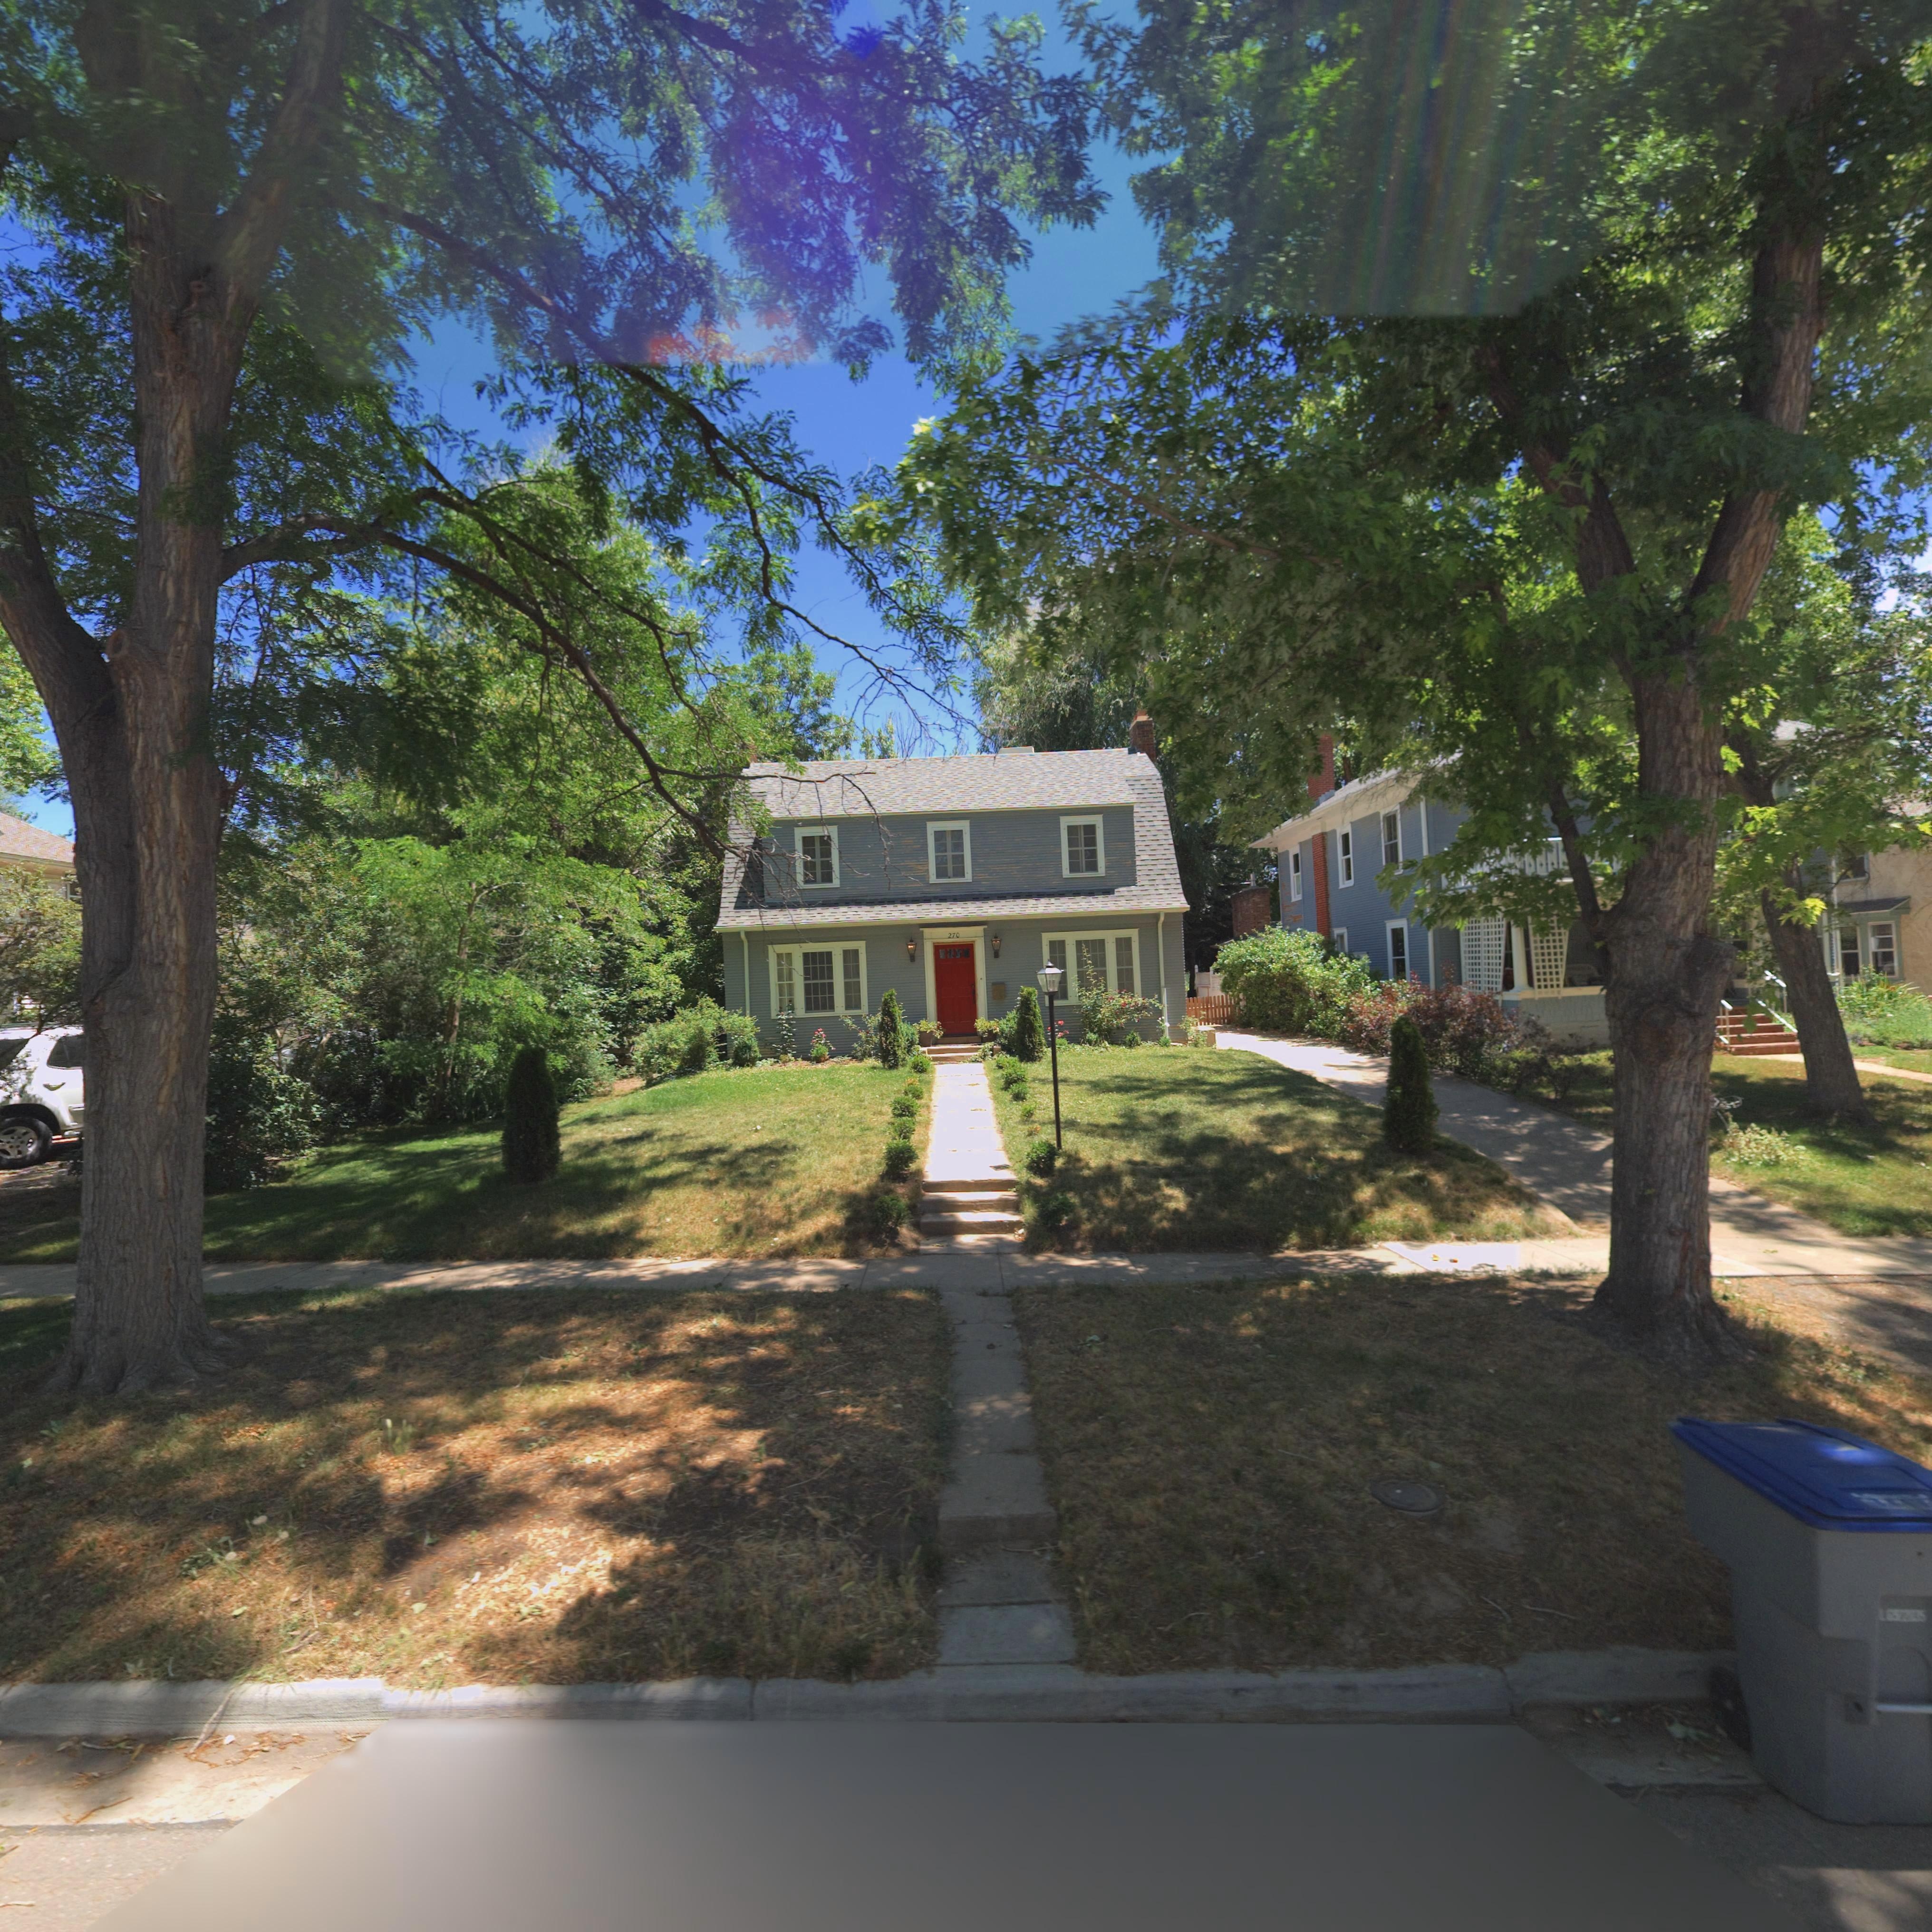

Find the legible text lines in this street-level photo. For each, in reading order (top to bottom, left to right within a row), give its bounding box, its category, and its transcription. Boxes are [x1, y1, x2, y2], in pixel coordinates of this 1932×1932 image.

[947, 932, 959, 938] StreetNumber: 270